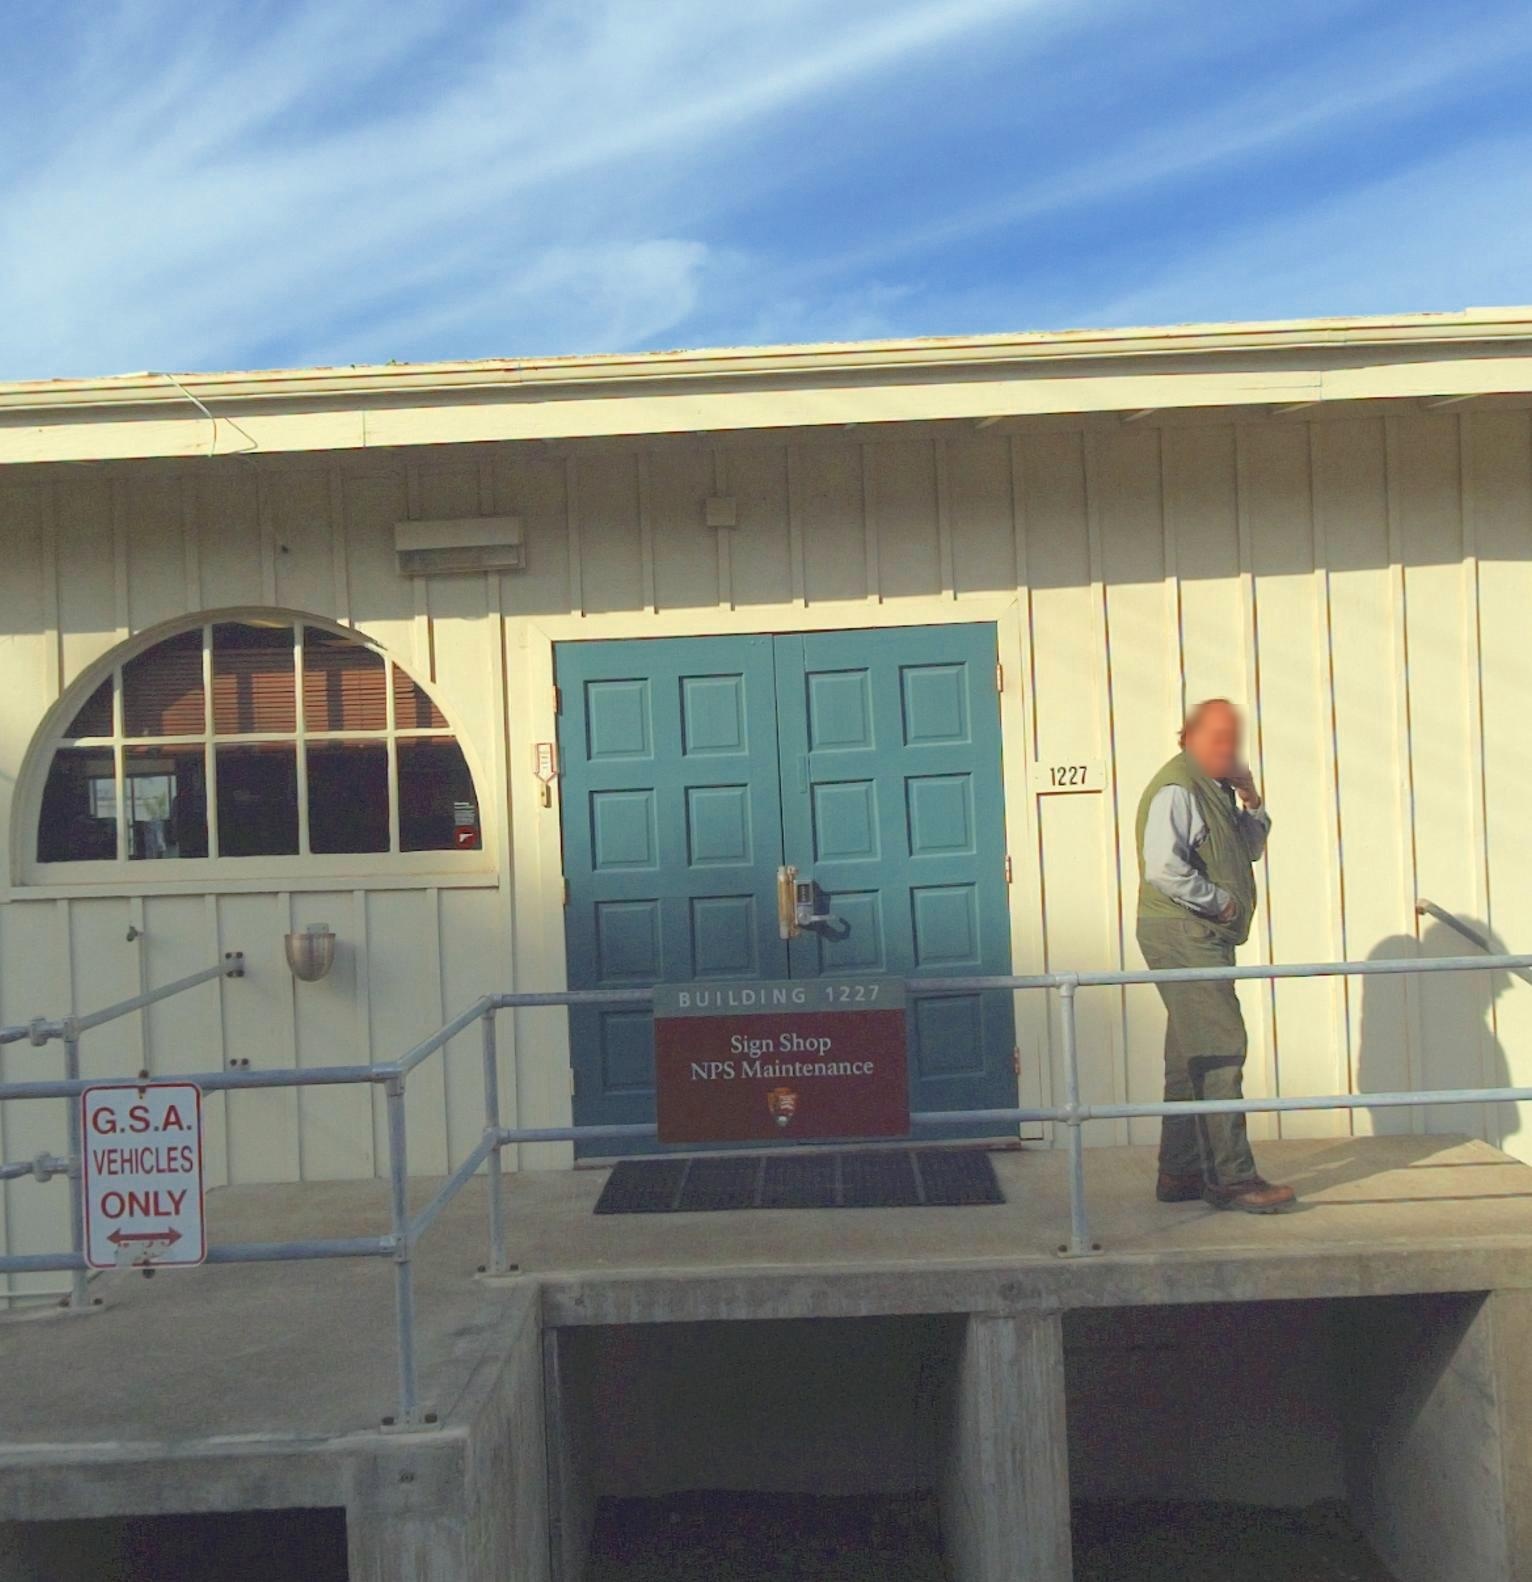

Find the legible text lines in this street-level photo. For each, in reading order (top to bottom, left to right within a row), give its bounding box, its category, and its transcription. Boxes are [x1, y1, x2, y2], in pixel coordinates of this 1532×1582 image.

[1047, 764, 1089, 788] StreetNumber: 1227
[678, 985, 806, 1008] None: BUILDING
[823, 983, 881, 1003] StreetNumber: 1227
[728, 1031, 834, 1060] BusinessName: Sign Shop
[687, 1059, 876, 1082] BusinessName: NPS Maintenance
[89, 1103, 188, 1137] None: G.S.A
[89, 1144, 194, 1178] None: VEHICLES
[98, 1187, 189, 1222] None: ONLY